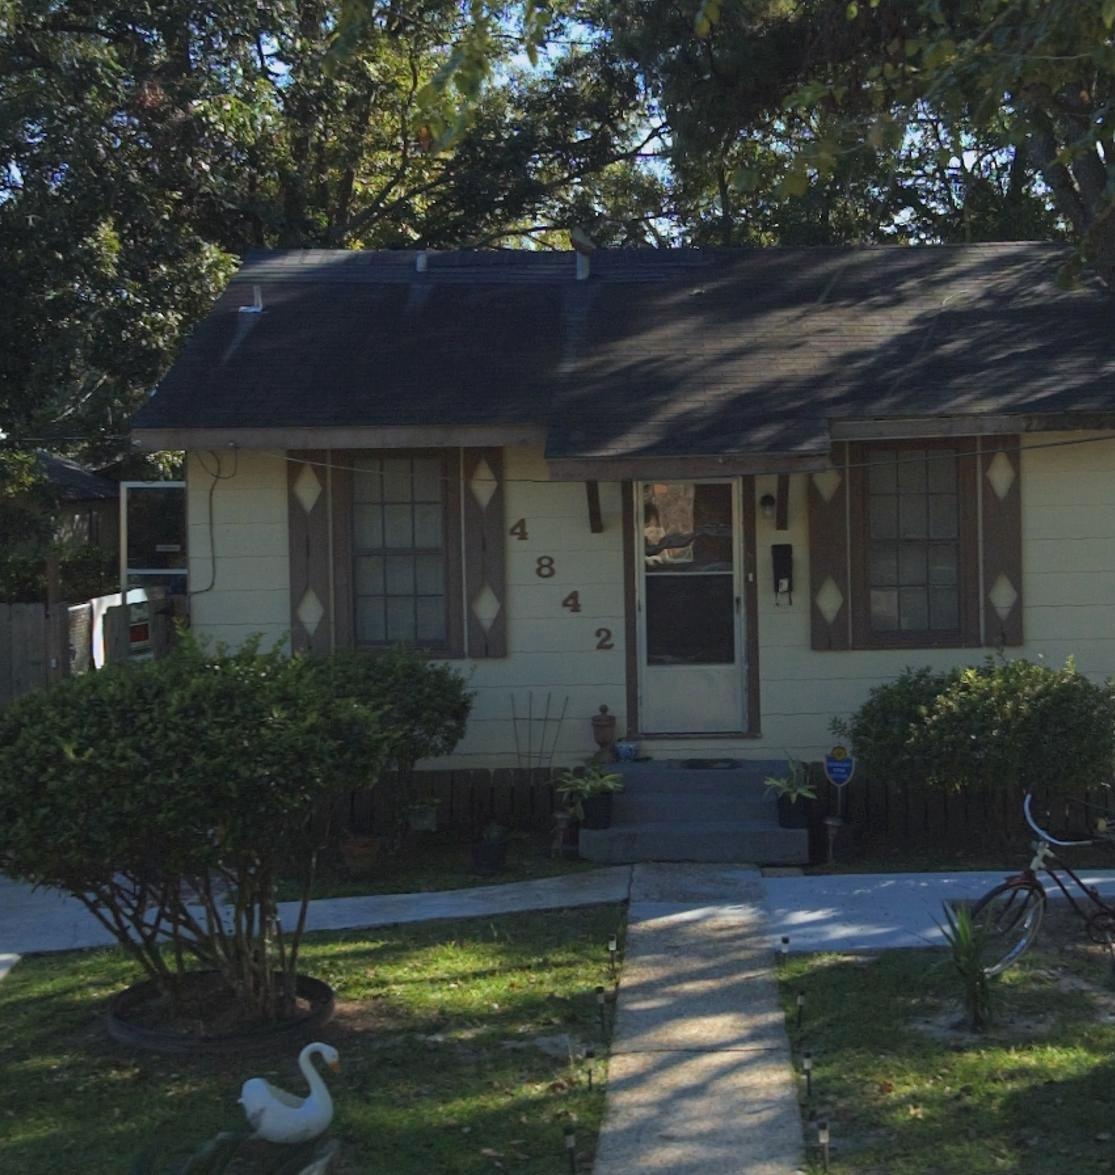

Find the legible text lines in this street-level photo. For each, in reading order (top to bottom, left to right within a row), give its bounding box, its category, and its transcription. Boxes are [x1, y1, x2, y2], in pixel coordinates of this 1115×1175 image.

[505, 511, 624, 653] StreetNumber: 4842